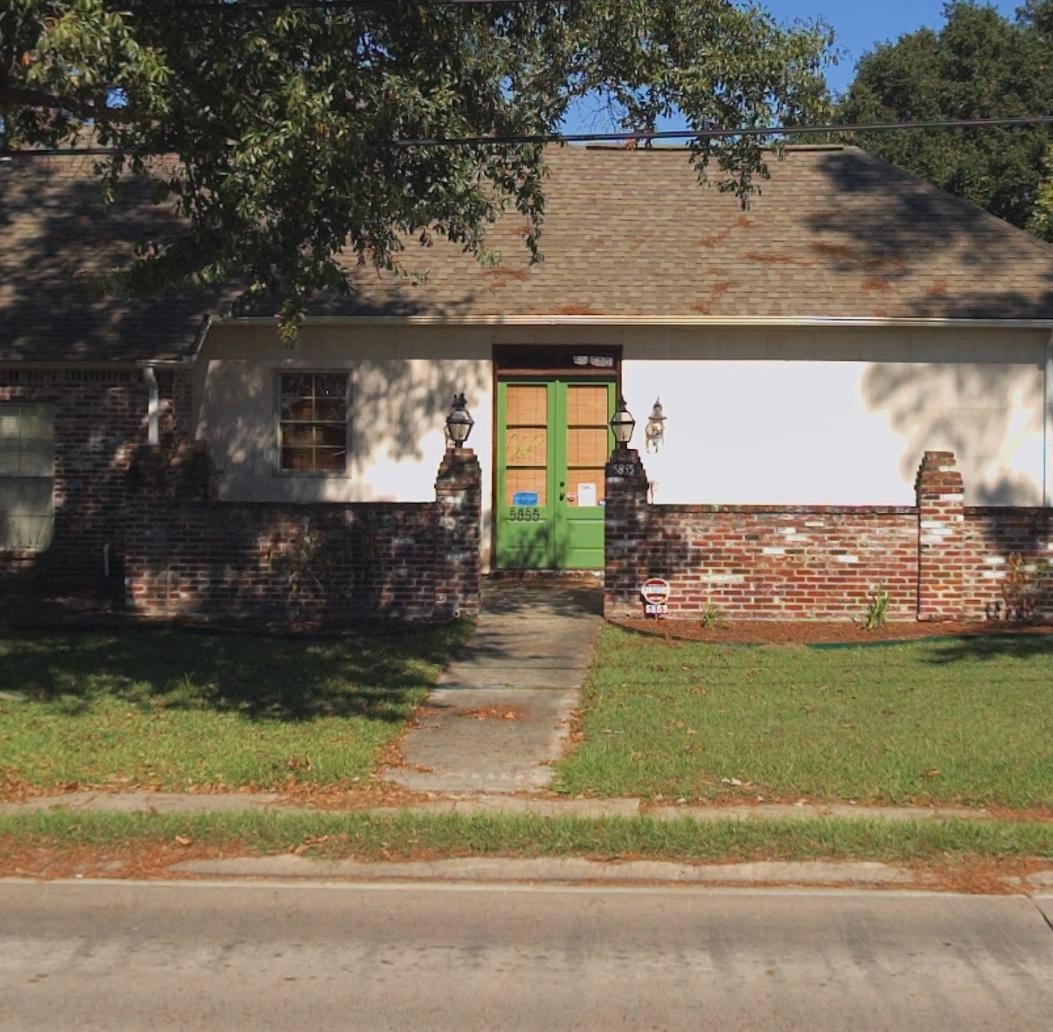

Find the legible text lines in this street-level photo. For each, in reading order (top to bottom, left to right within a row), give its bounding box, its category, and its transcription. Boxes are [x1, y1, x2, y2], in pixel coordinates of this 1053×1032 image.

[611, 462, 636, 477] StreetNumber: 5855
[506, 505, 542, 523] StreetNumber: 5***
[645, 603, 670, 615] StreetNumber: 58**